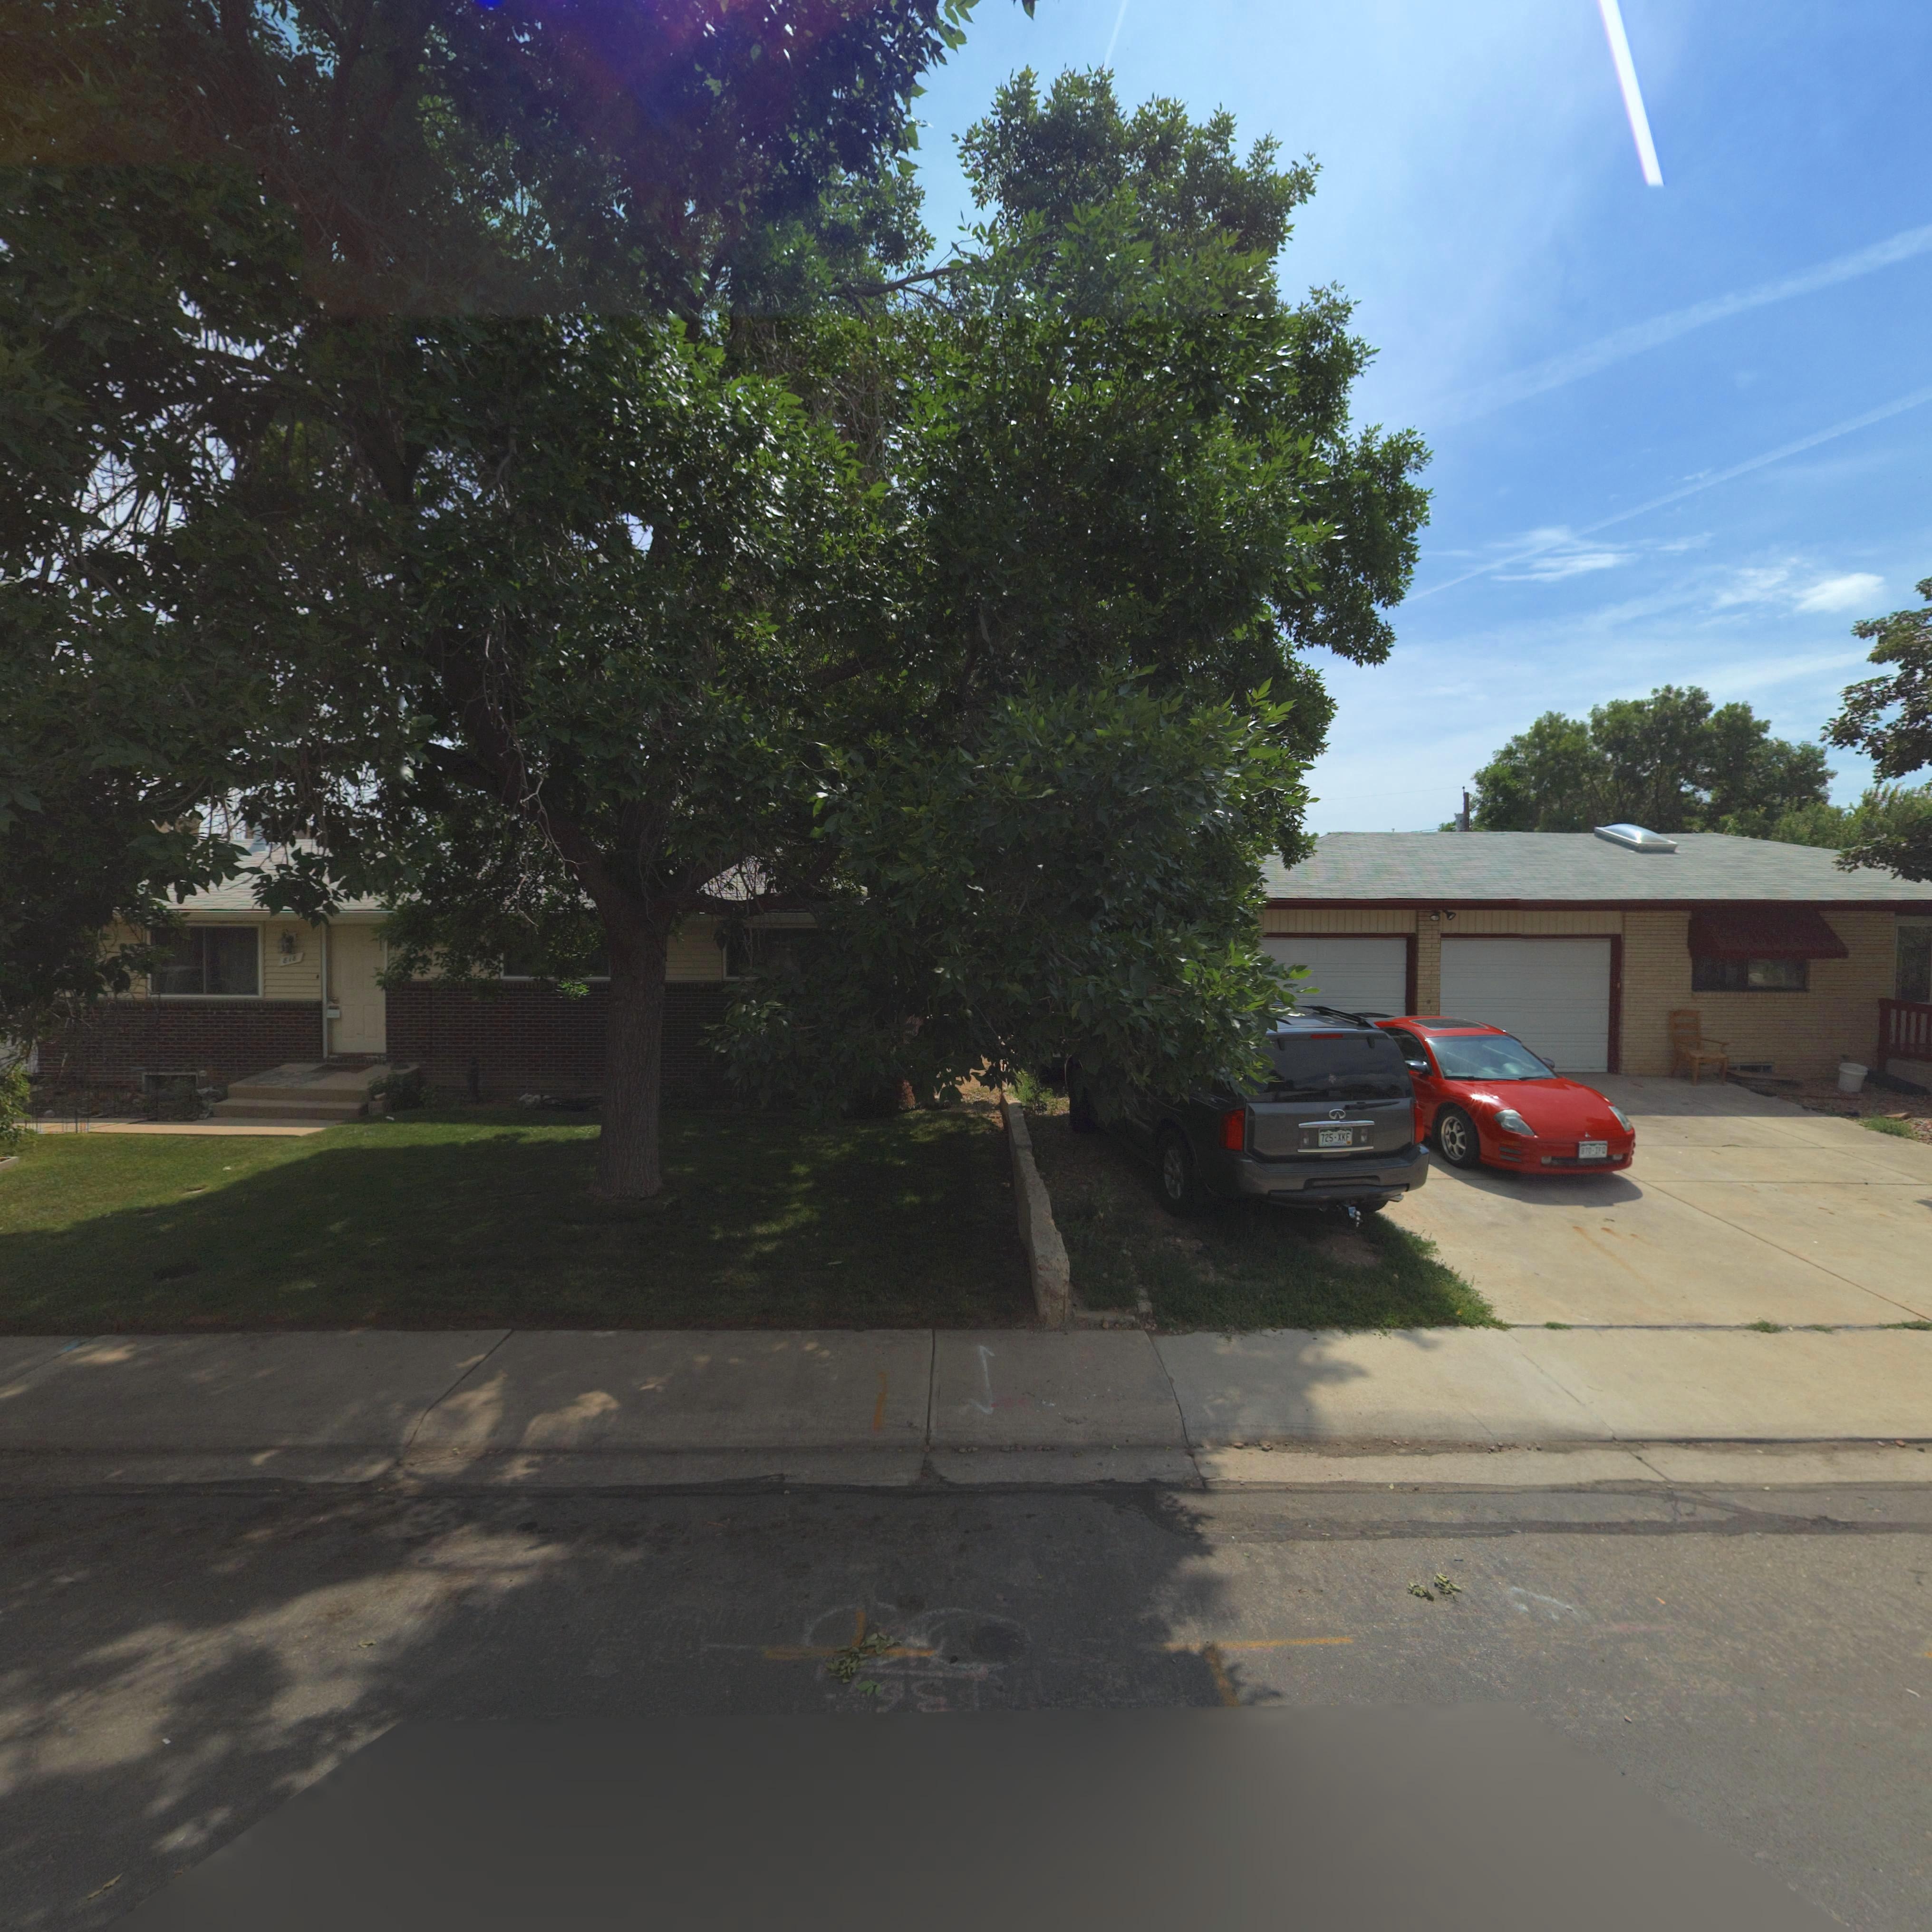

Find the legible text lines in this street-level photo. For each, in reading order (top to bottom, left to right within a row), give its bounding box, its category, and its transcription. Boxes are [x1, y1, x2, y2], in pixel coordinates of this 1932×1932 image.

[282, 954, 297, 964] StreetNumber: 818